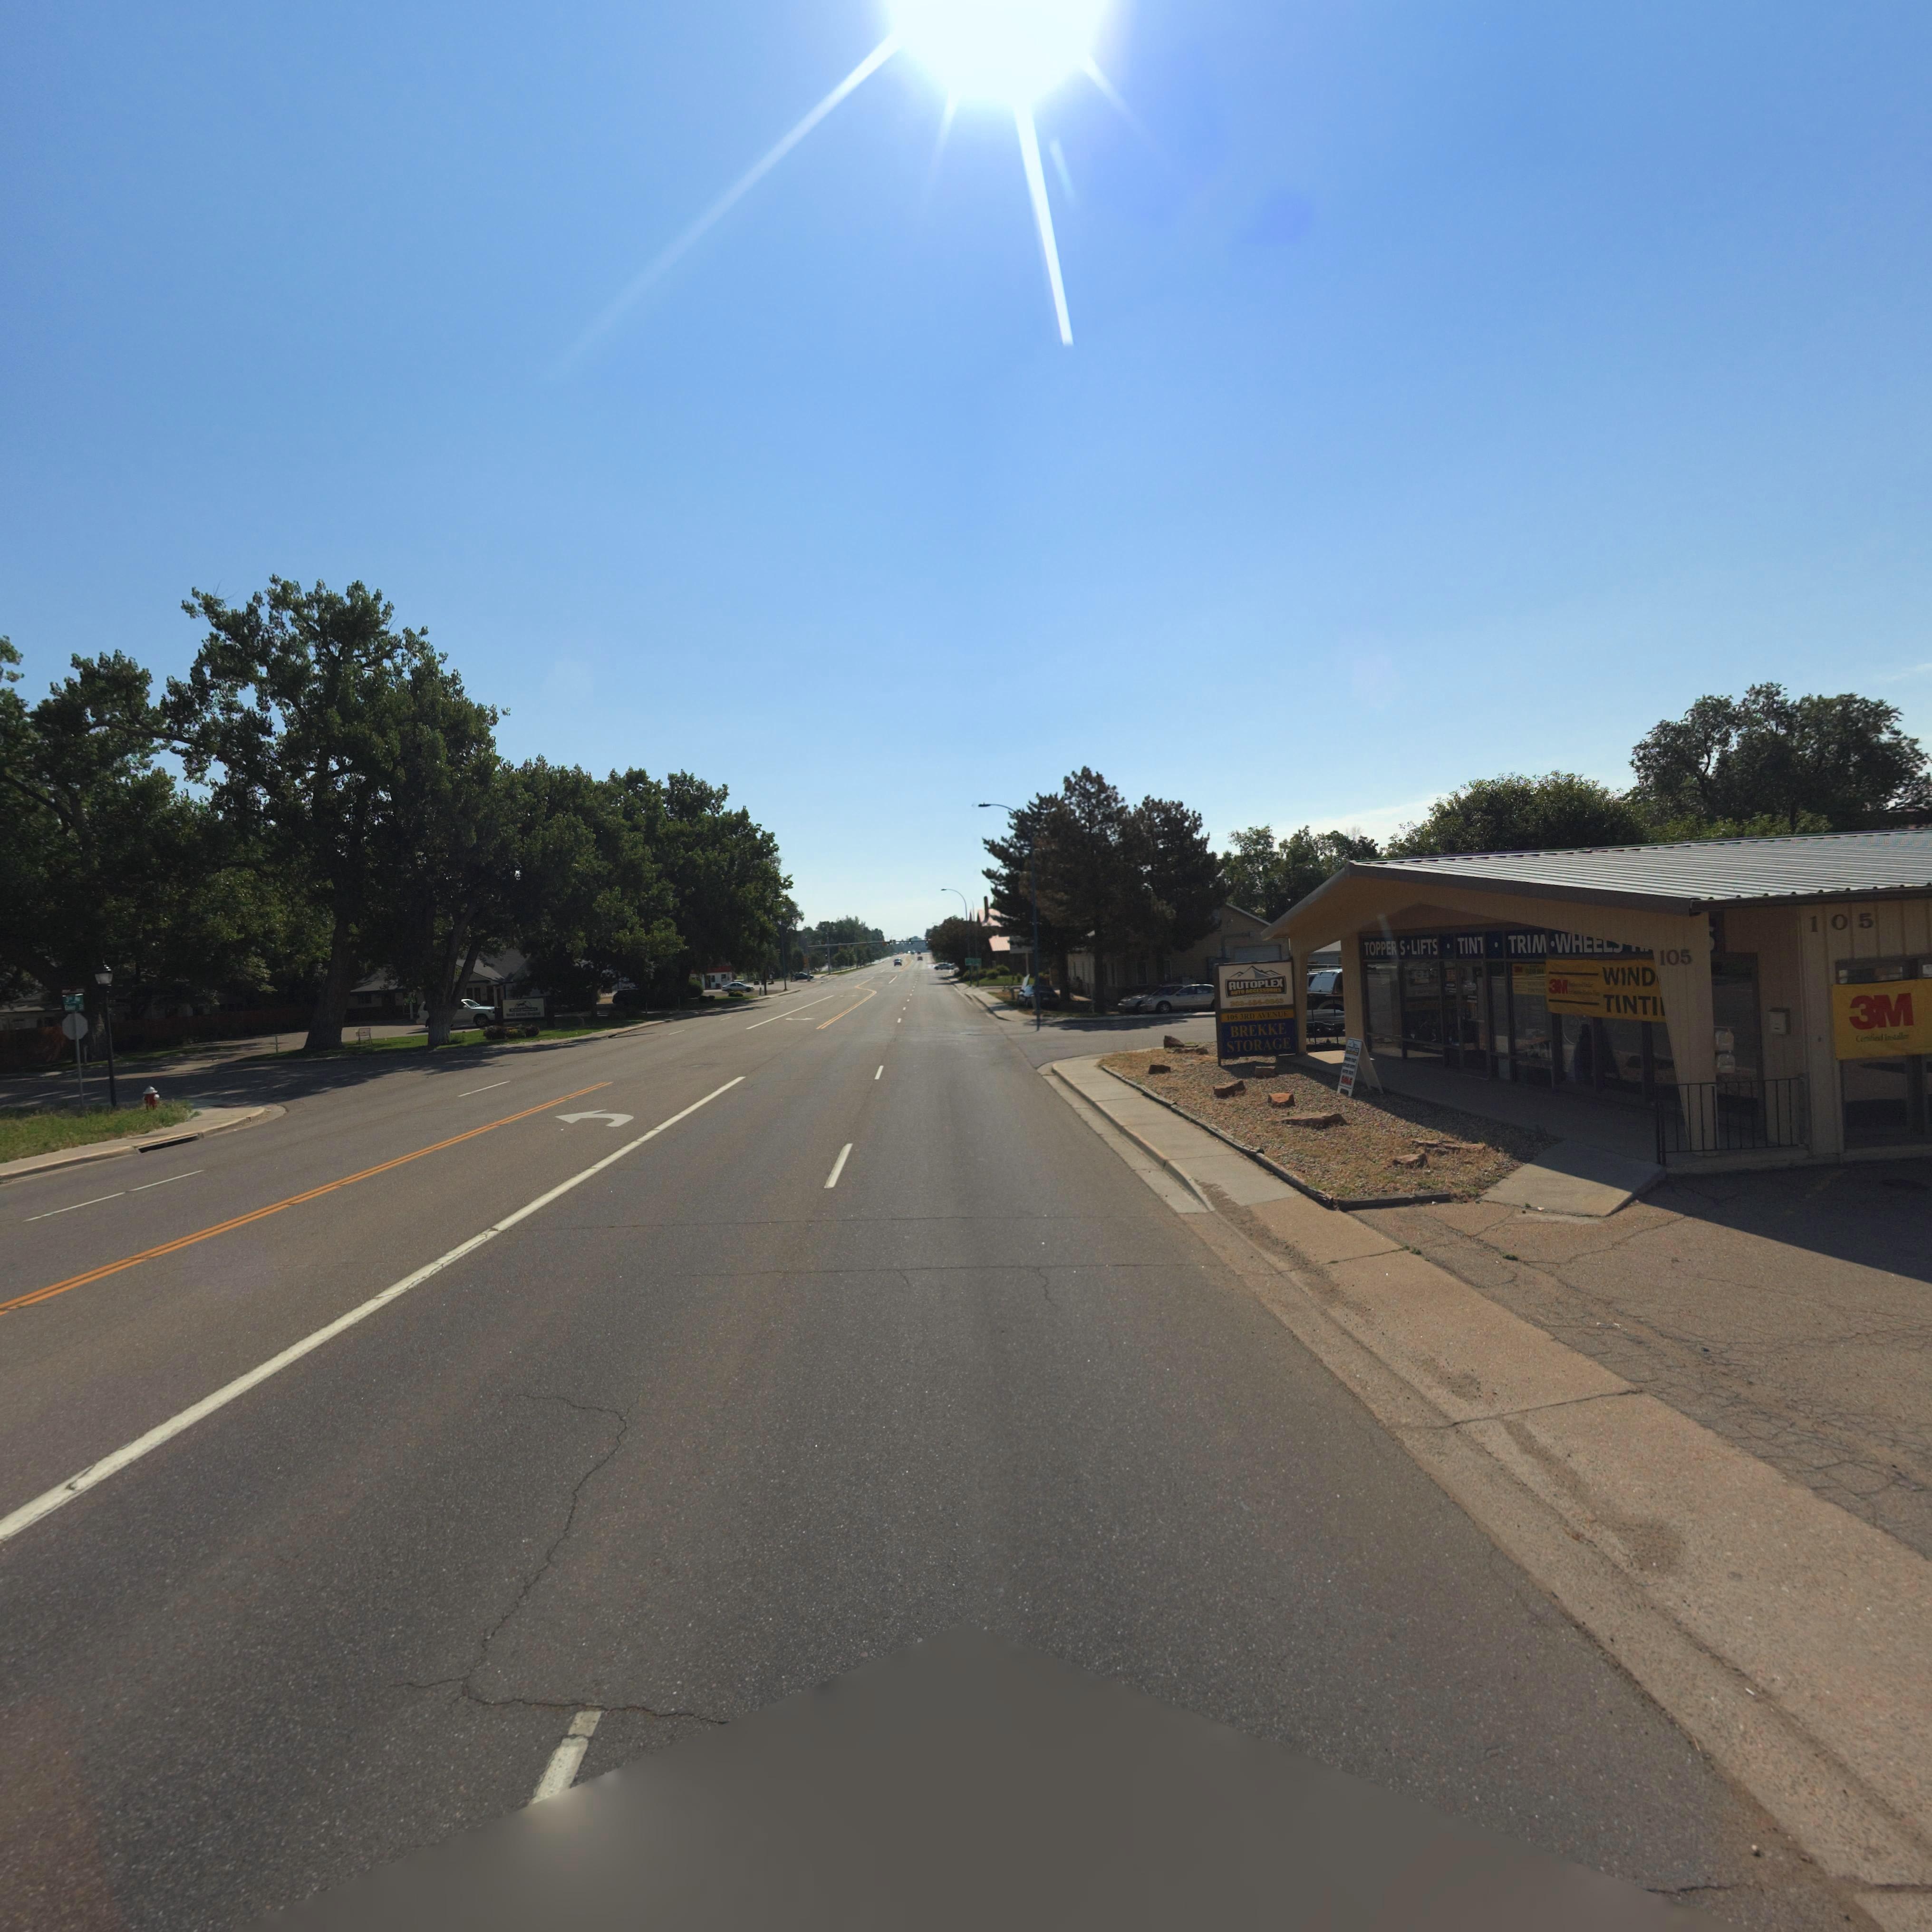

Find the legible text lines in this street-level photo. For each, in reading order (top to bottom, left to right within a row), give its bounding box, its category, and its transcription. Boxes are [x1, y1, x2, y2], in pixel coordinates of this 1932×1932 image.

[1809, 911, 1874, 934] StreetNumber: 105
[1658, 948, 1691, 965] StreetNumber: 105
[1228, 978, 1284, 991] BusinessName: AUTOPLEX
[1230, 987, 1282, 995] BusinessName: AUTO ACCESSORIES
[65, 995, 81, 1003] StreetName: 3** A***
[64, 1003, 85, 1010] StreetName: C**er St
[511, 1008, 536, 1011] BusinessName: L*****n*
[506, 1011, 542, 1017] BusinessName: S***l A**ma* ***p***l
[1226, 1014, 1238, 1021] StreetNumber: 105
[1239, 1010, 1288, 1020] StreetName: 3RD AVENUE
[1230, 1022, 1287, 1038] BusinessName: BREKKE
[1225, 1036, 1292, 1053] BusinessName: STORAGE
[1346, 1045, 1360, 1053] BusinessName: ******EX